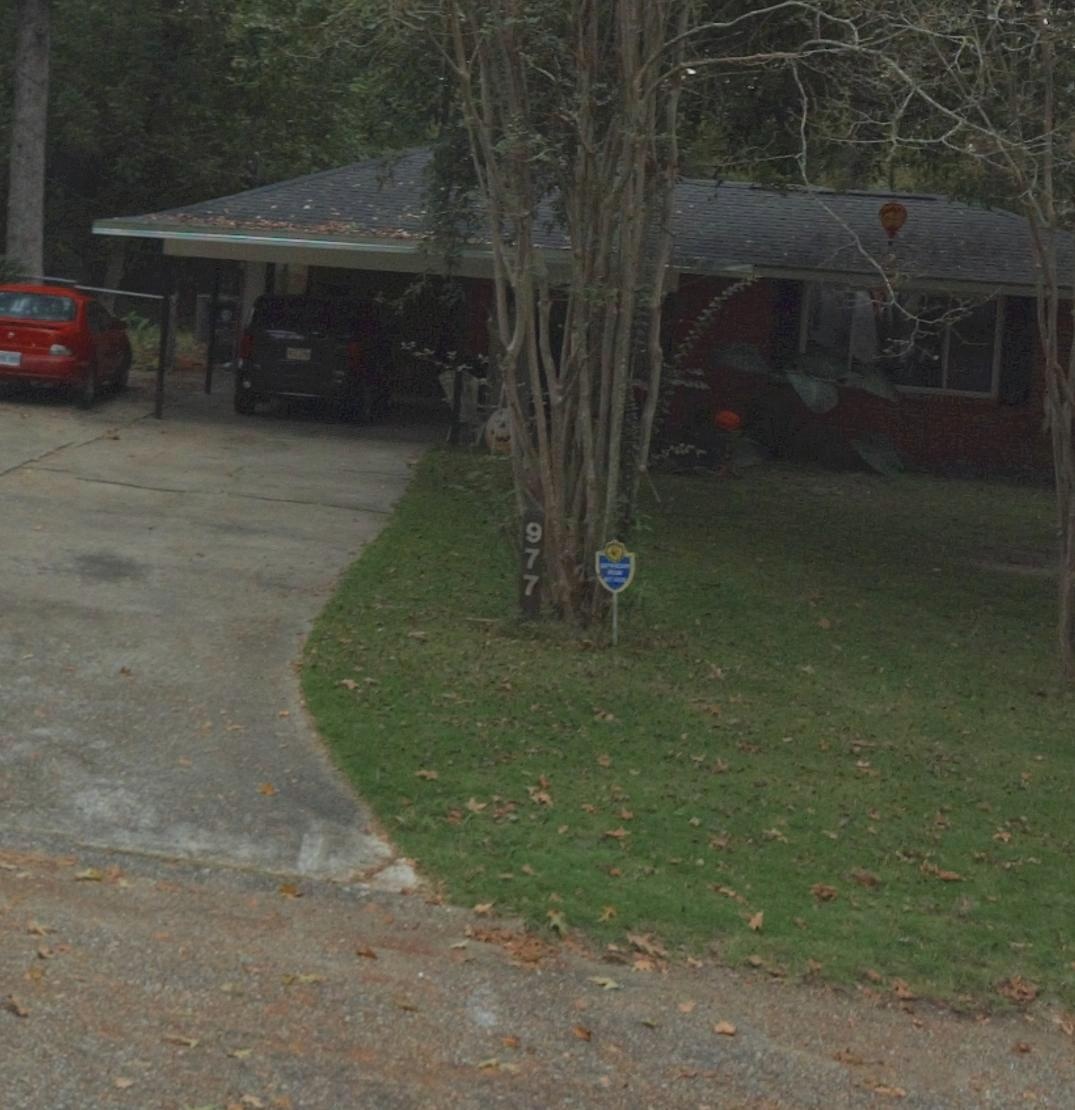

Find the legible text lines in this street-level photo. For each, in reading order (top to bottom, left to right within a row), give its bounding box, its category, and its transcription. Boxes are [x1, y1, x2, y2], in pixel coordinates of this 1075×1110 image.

[521, 521, 543, 597] StreetNumber: 977